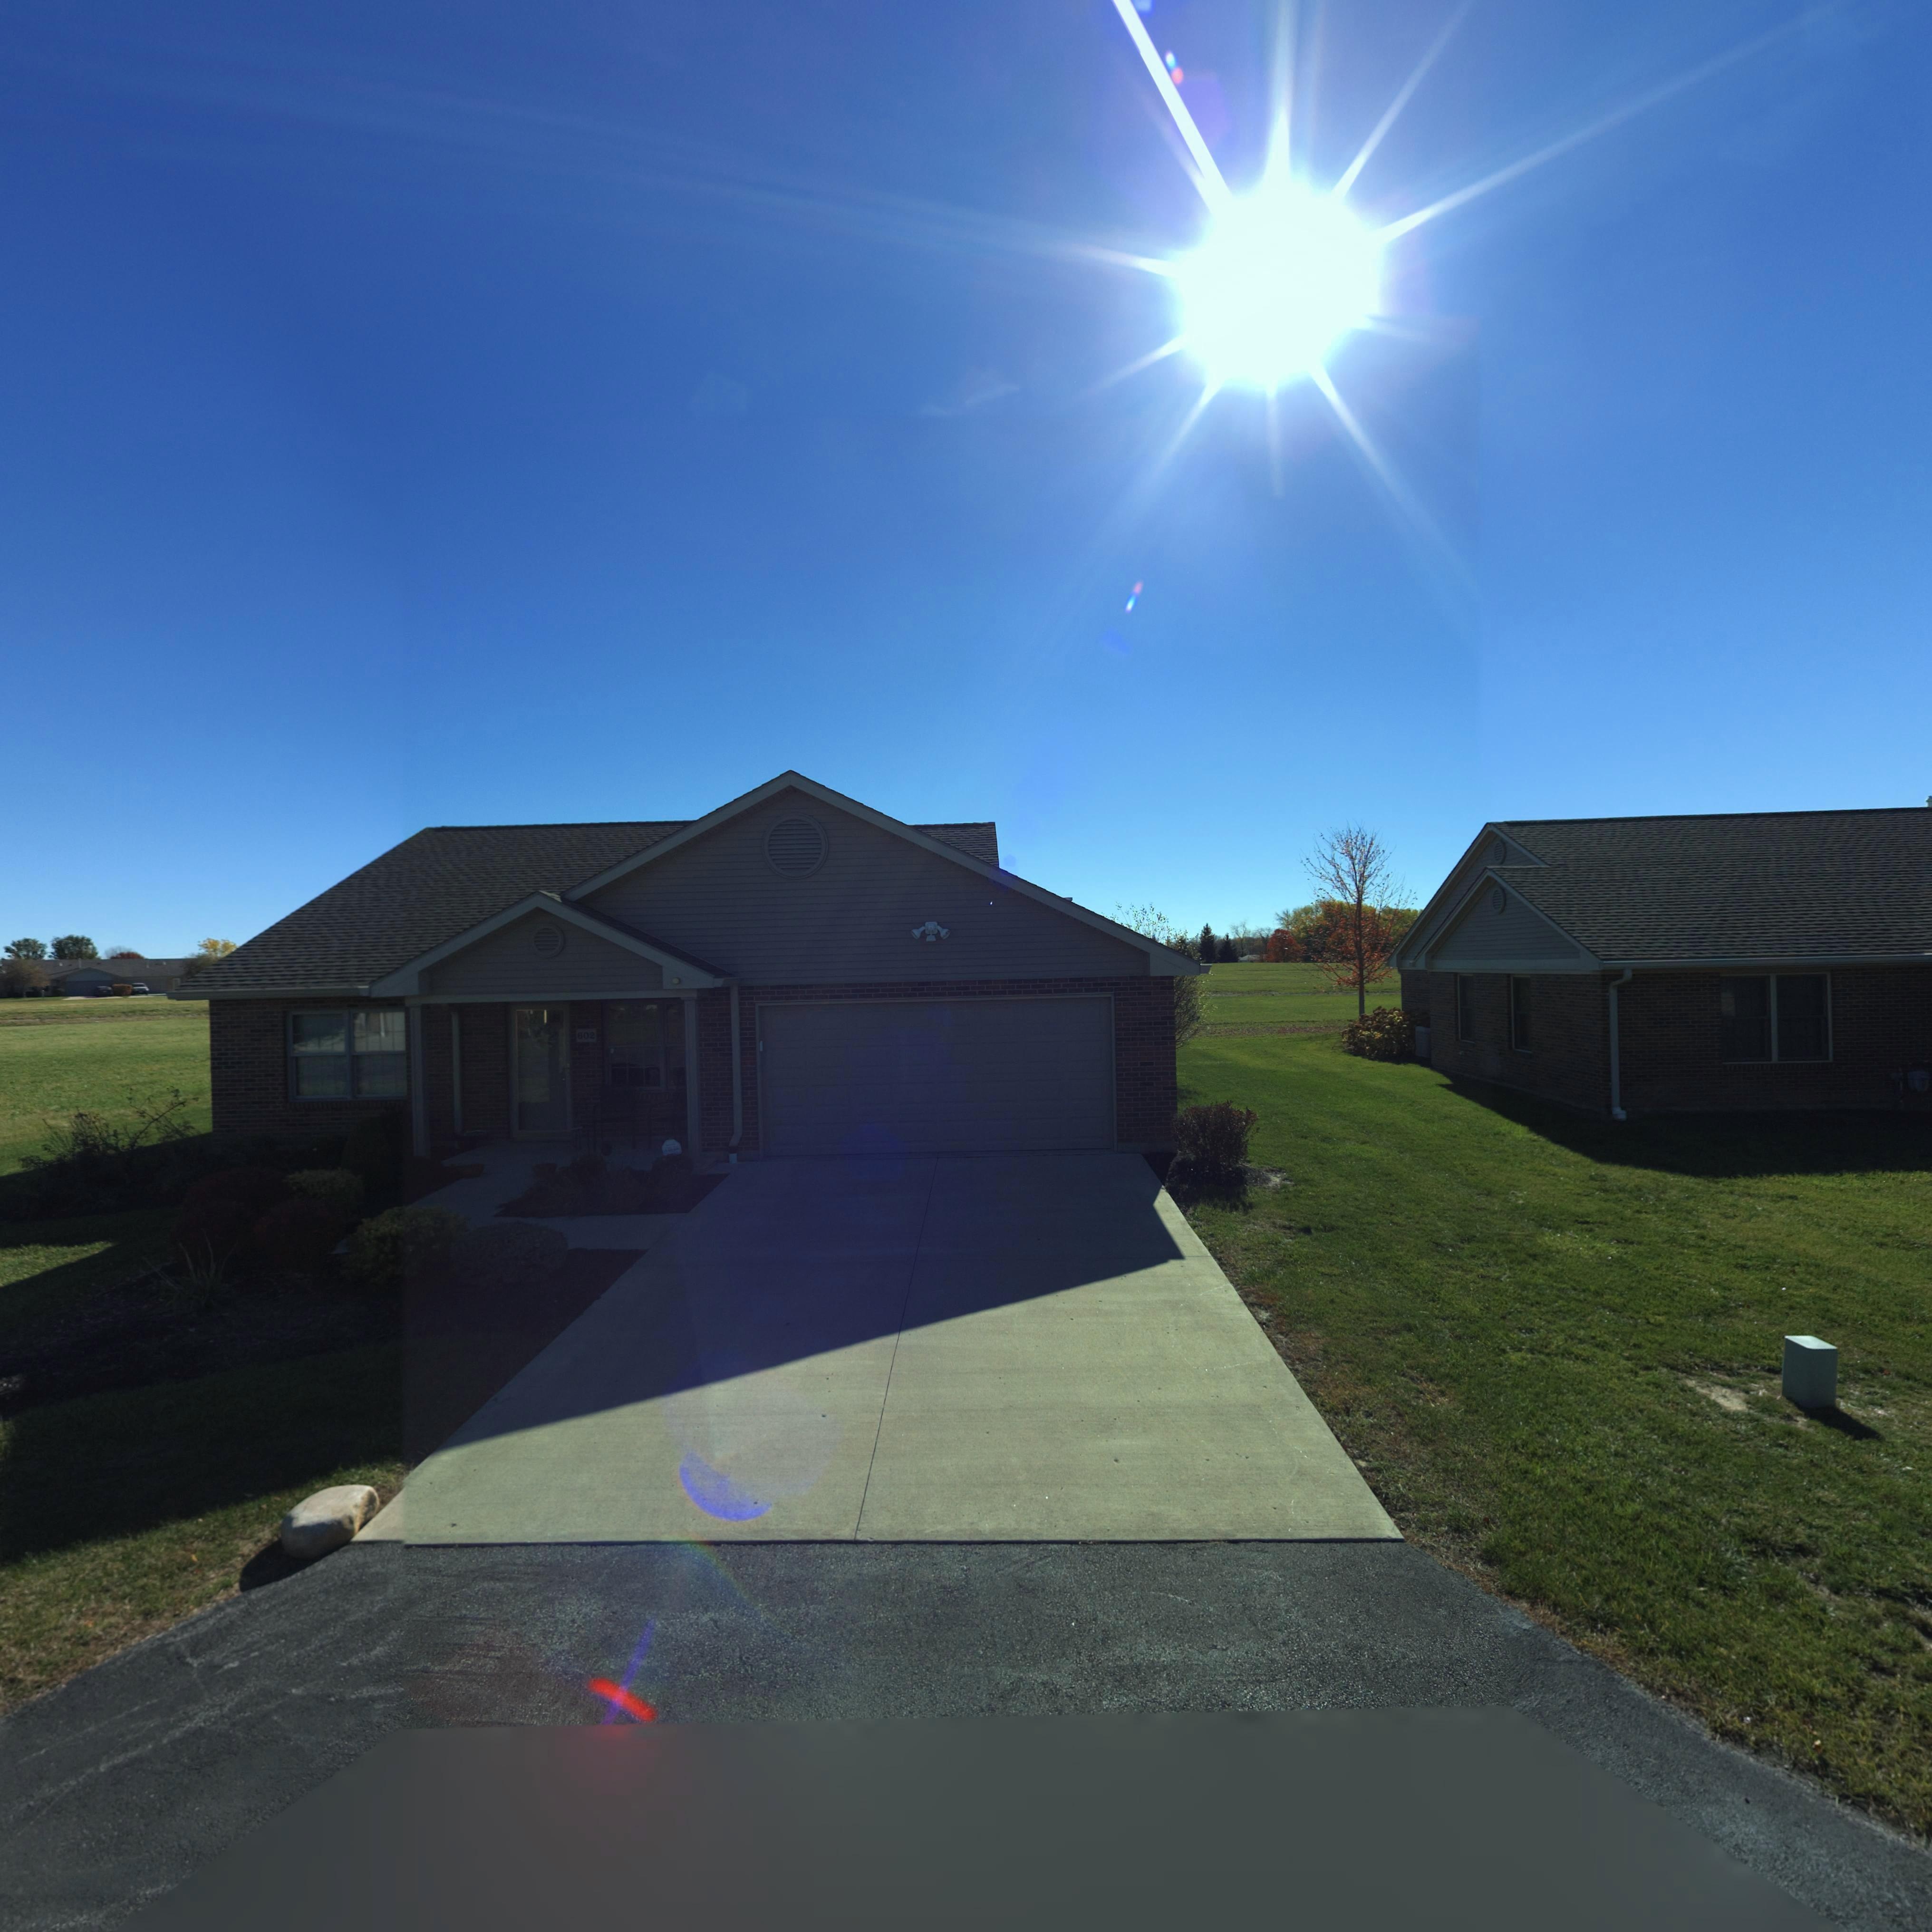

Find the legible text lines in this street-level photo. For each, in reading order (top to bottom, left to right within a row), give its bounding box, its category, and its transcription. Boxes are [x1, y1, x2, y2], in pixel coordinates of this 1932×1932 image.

[577, 1031, 595, 1040] StreetNumber: 602